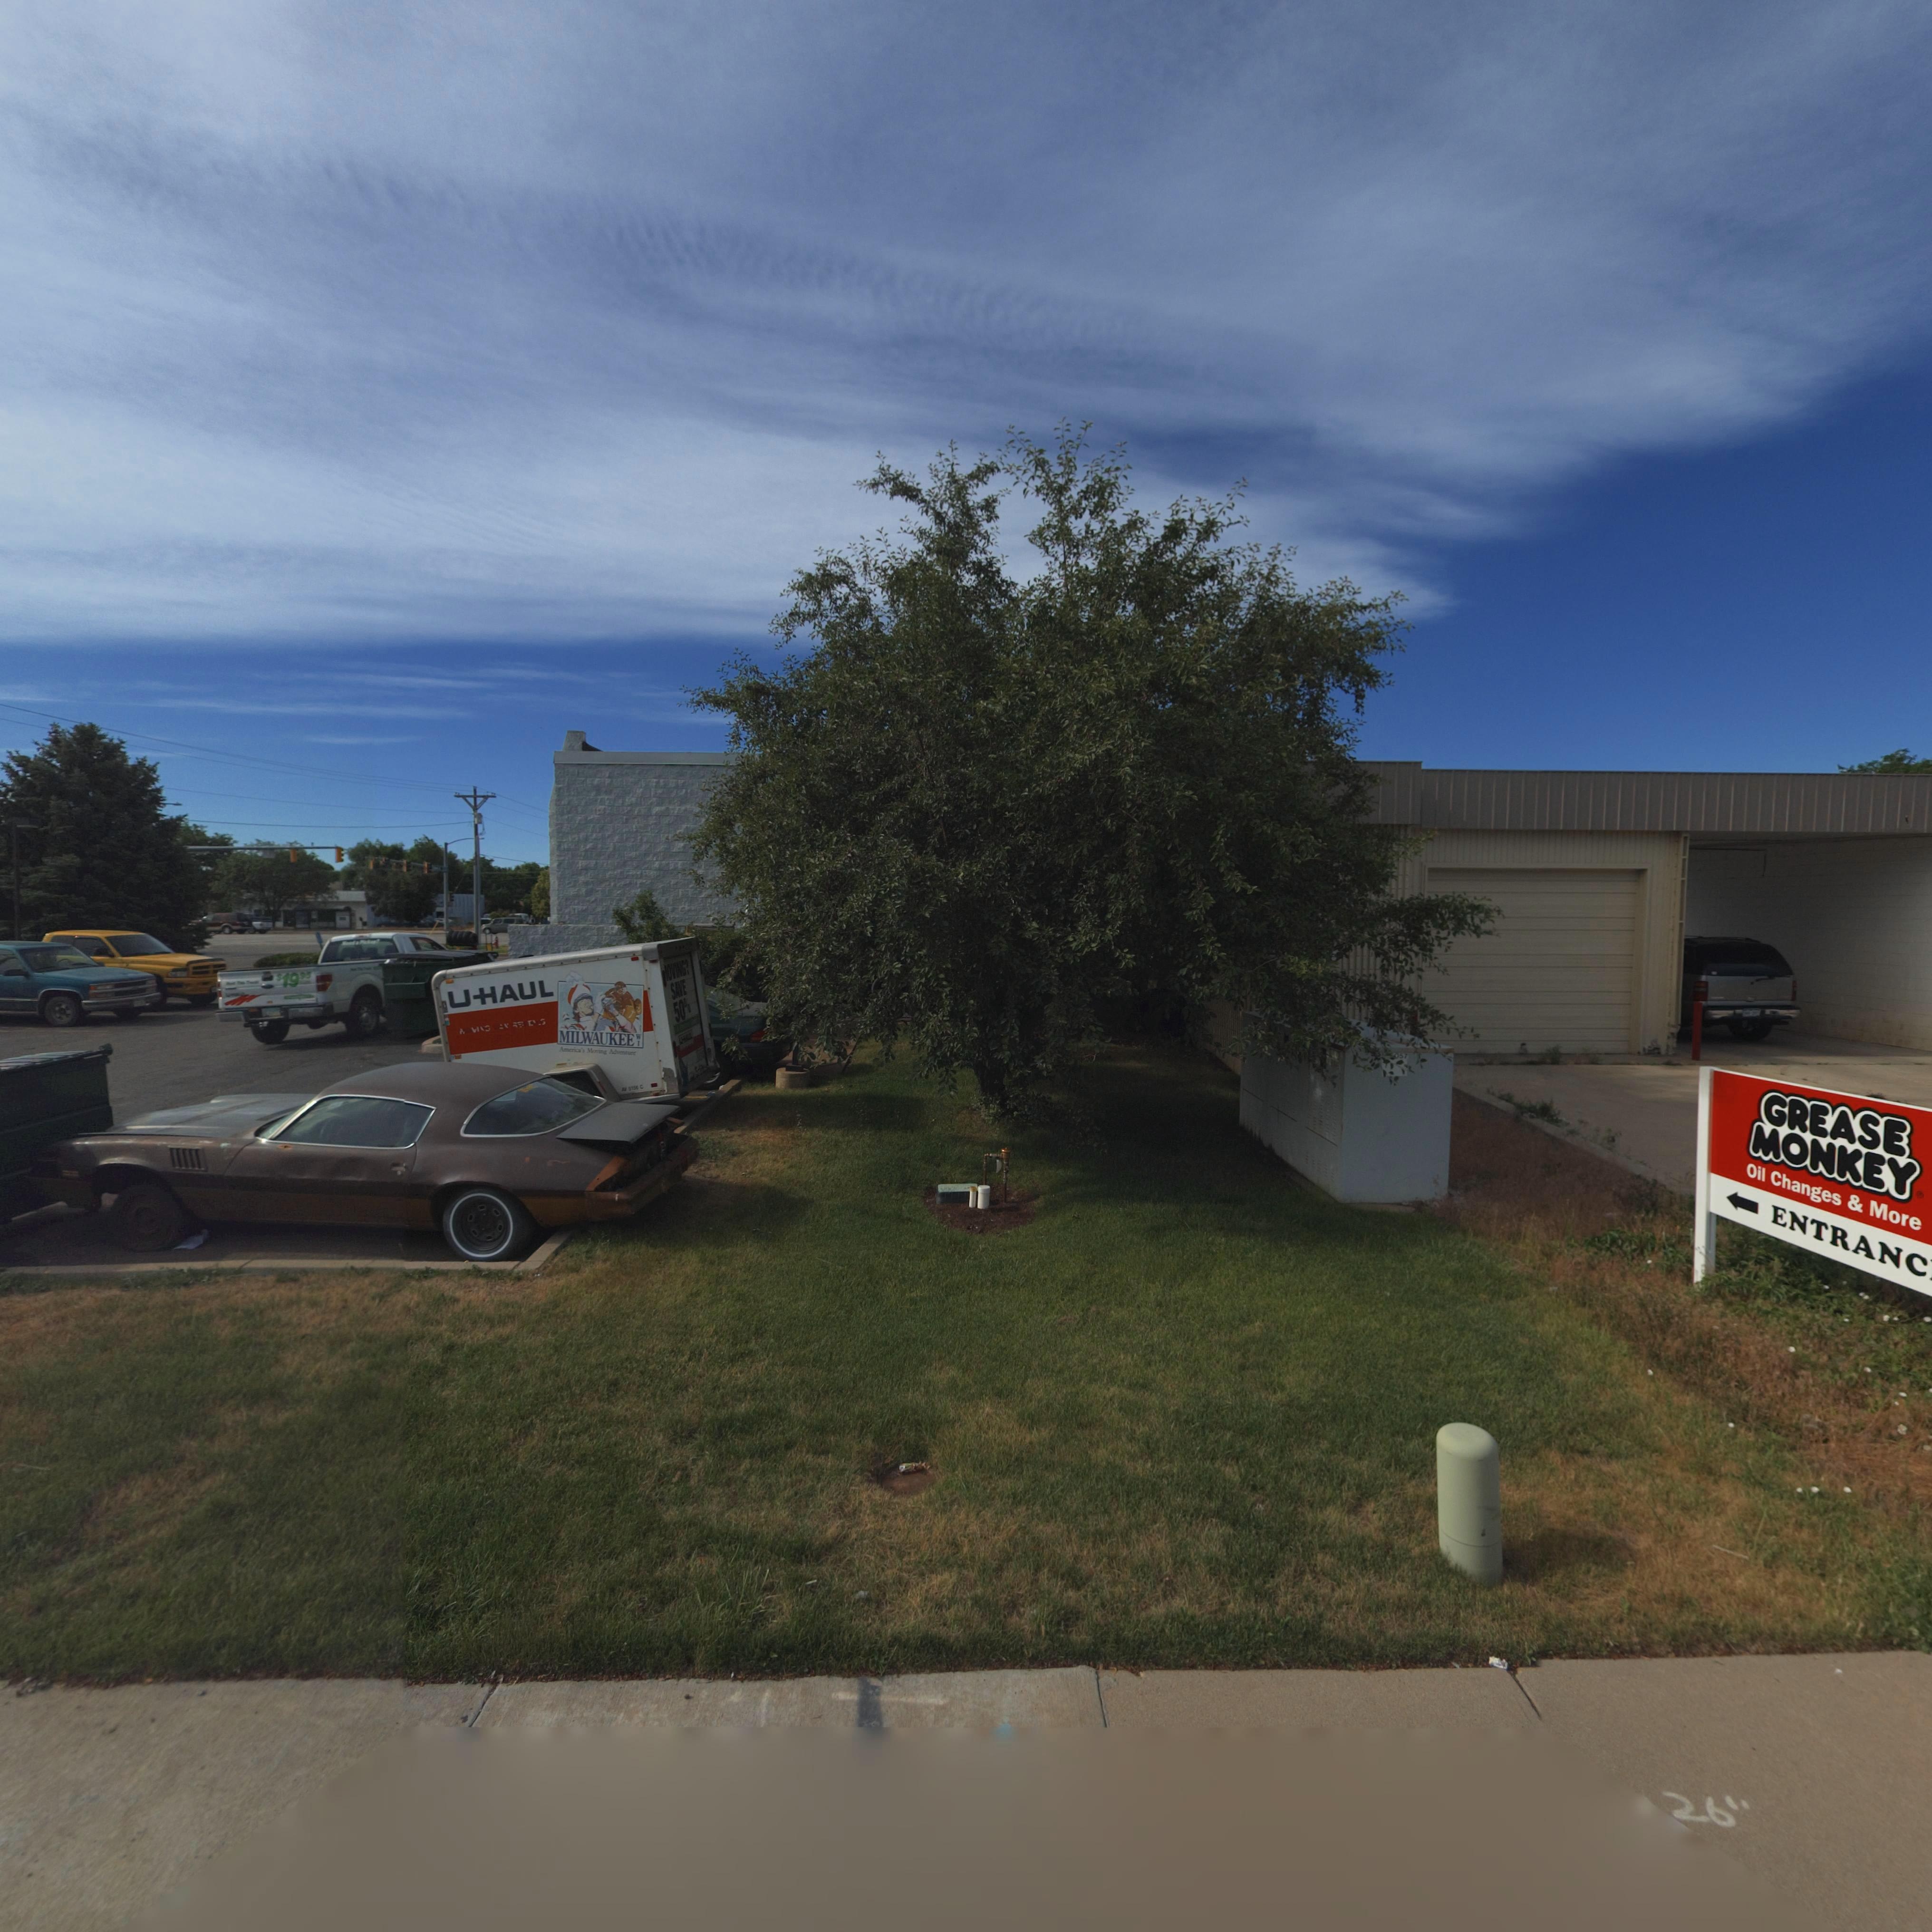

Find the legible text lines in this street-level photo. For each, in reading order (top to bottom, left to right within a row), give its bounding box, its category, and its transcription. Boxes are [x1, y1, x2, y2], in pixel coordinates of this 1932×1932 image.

[1751, 1124, 1917, 1196] BusinessName: MONKEY
[1763, 1094, 1907, 1157] BusinessName: GREASE